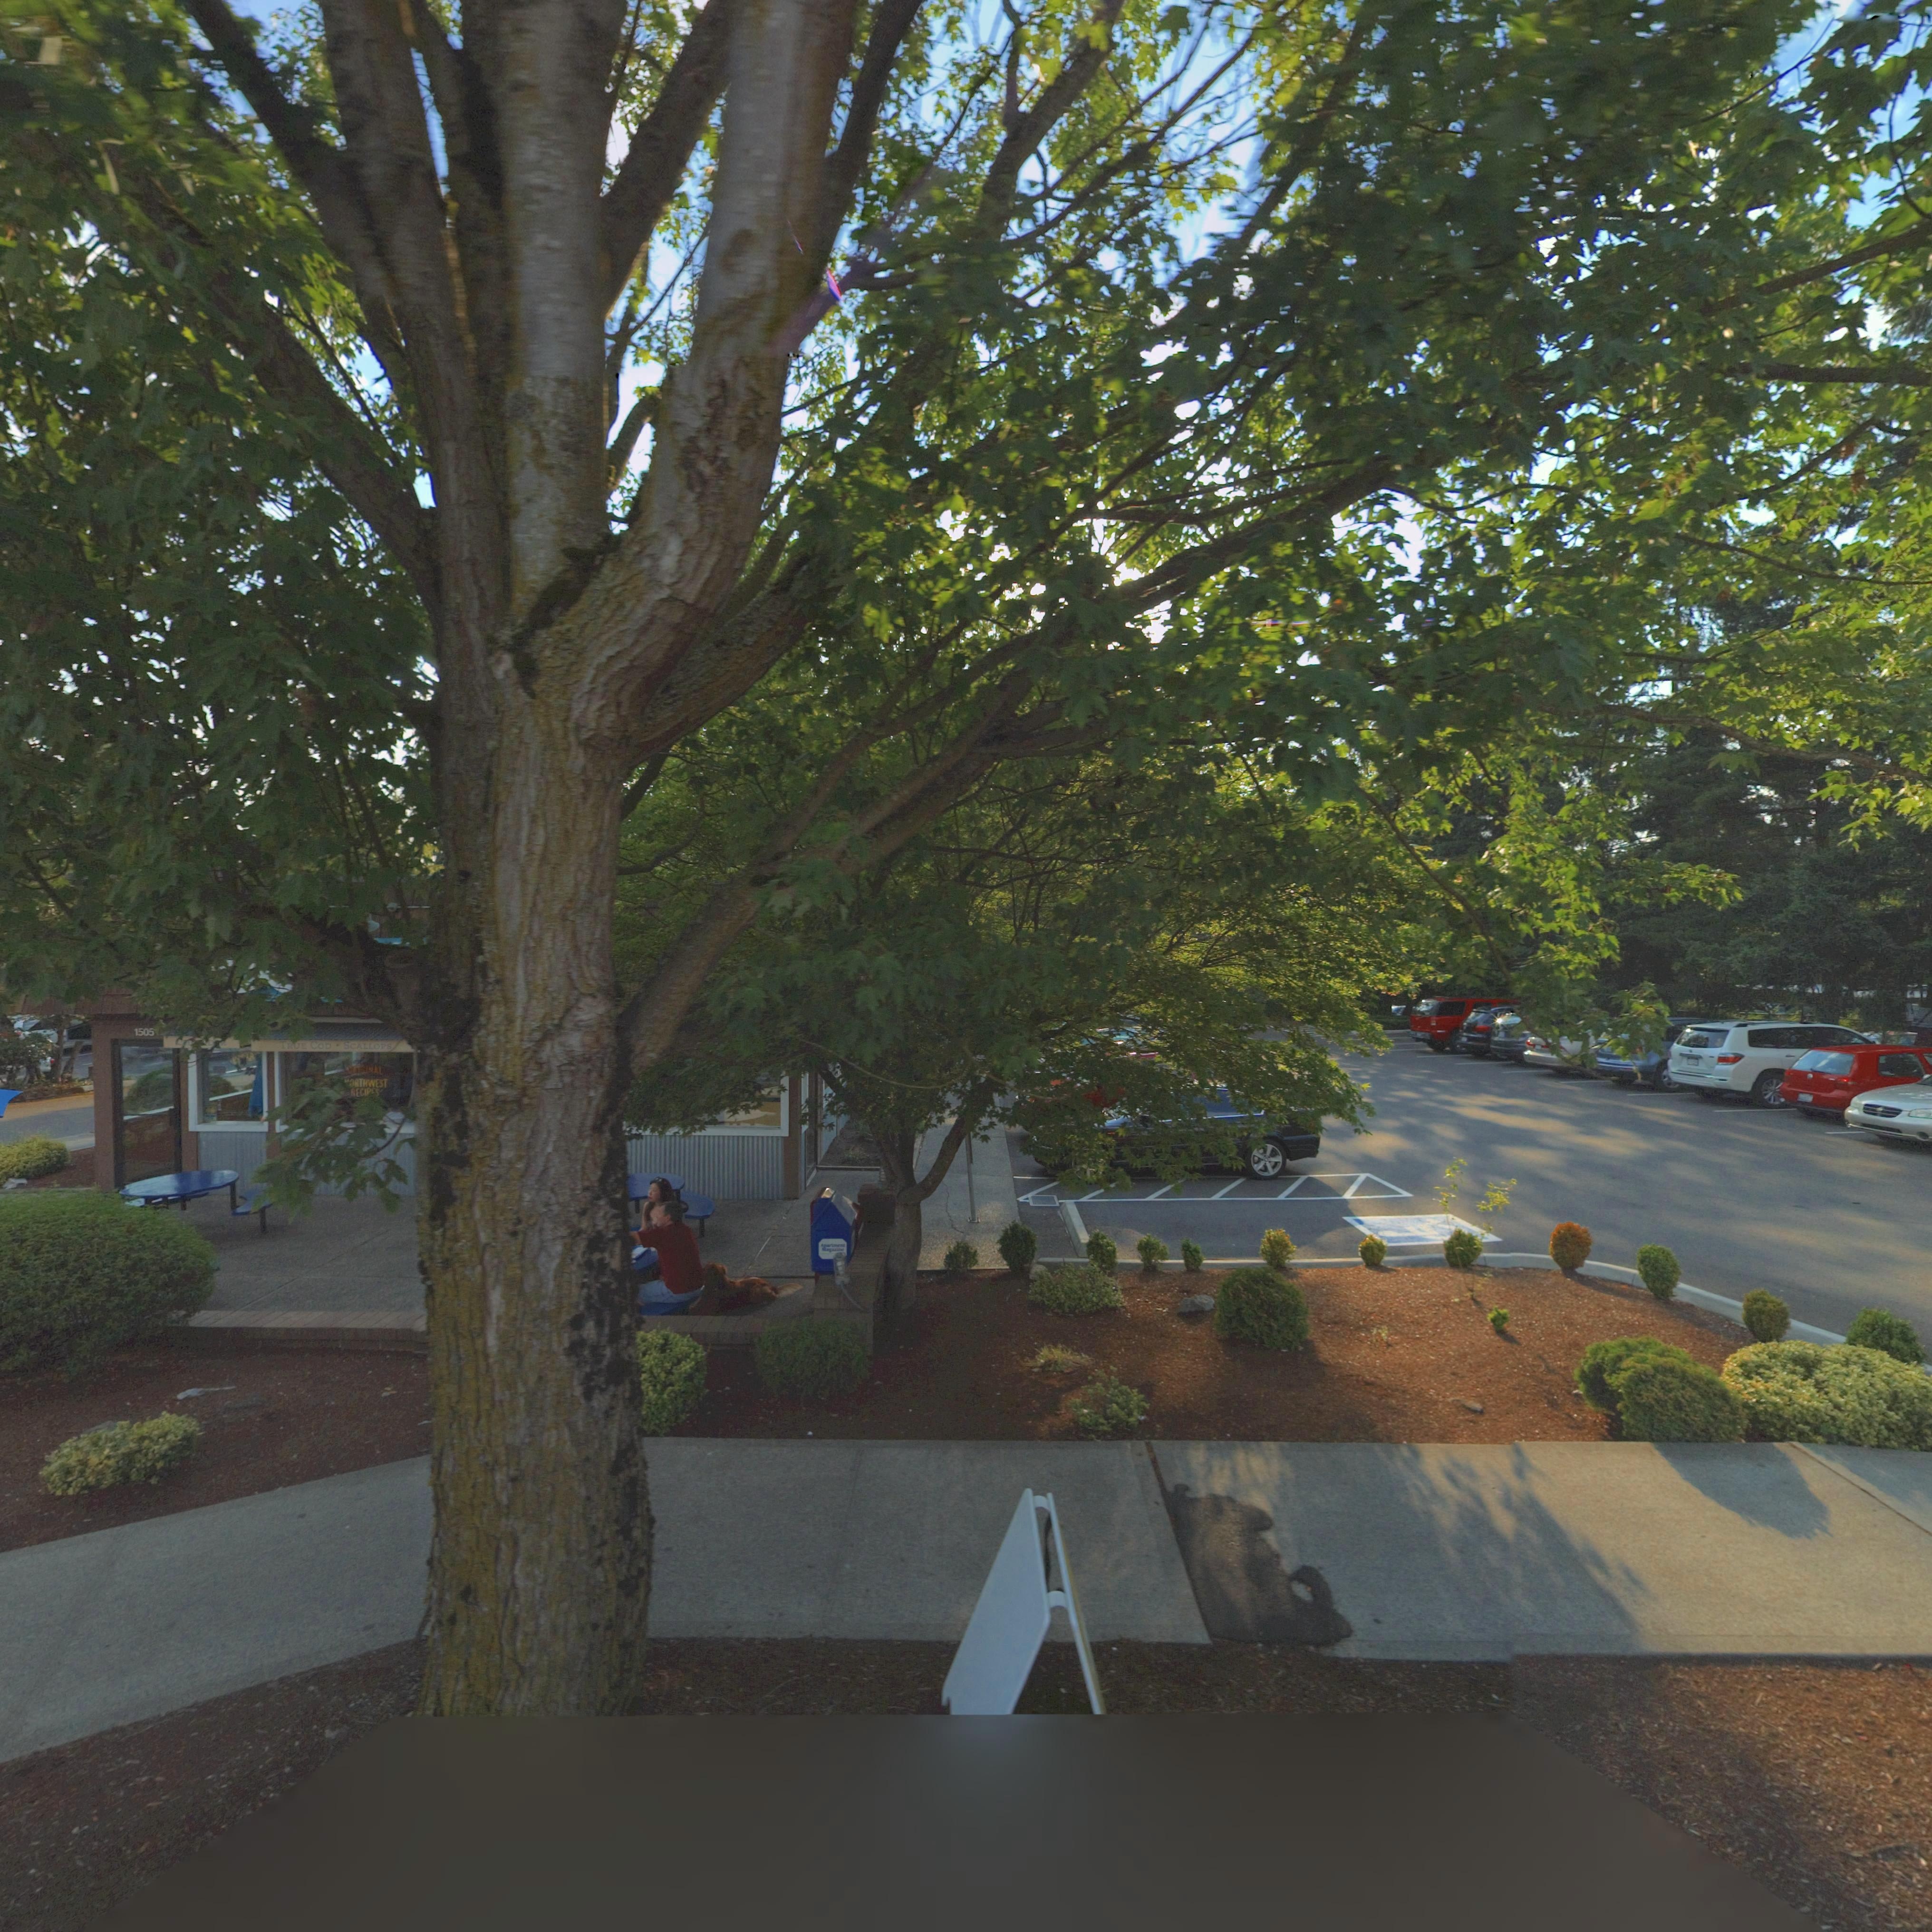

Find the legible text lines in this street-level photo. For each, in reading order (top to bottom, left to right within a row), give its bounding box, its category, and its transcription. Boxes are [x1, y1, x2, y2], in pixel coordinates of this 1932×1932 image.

[133, 1027, 155, 1037] StreetNumber: 1505